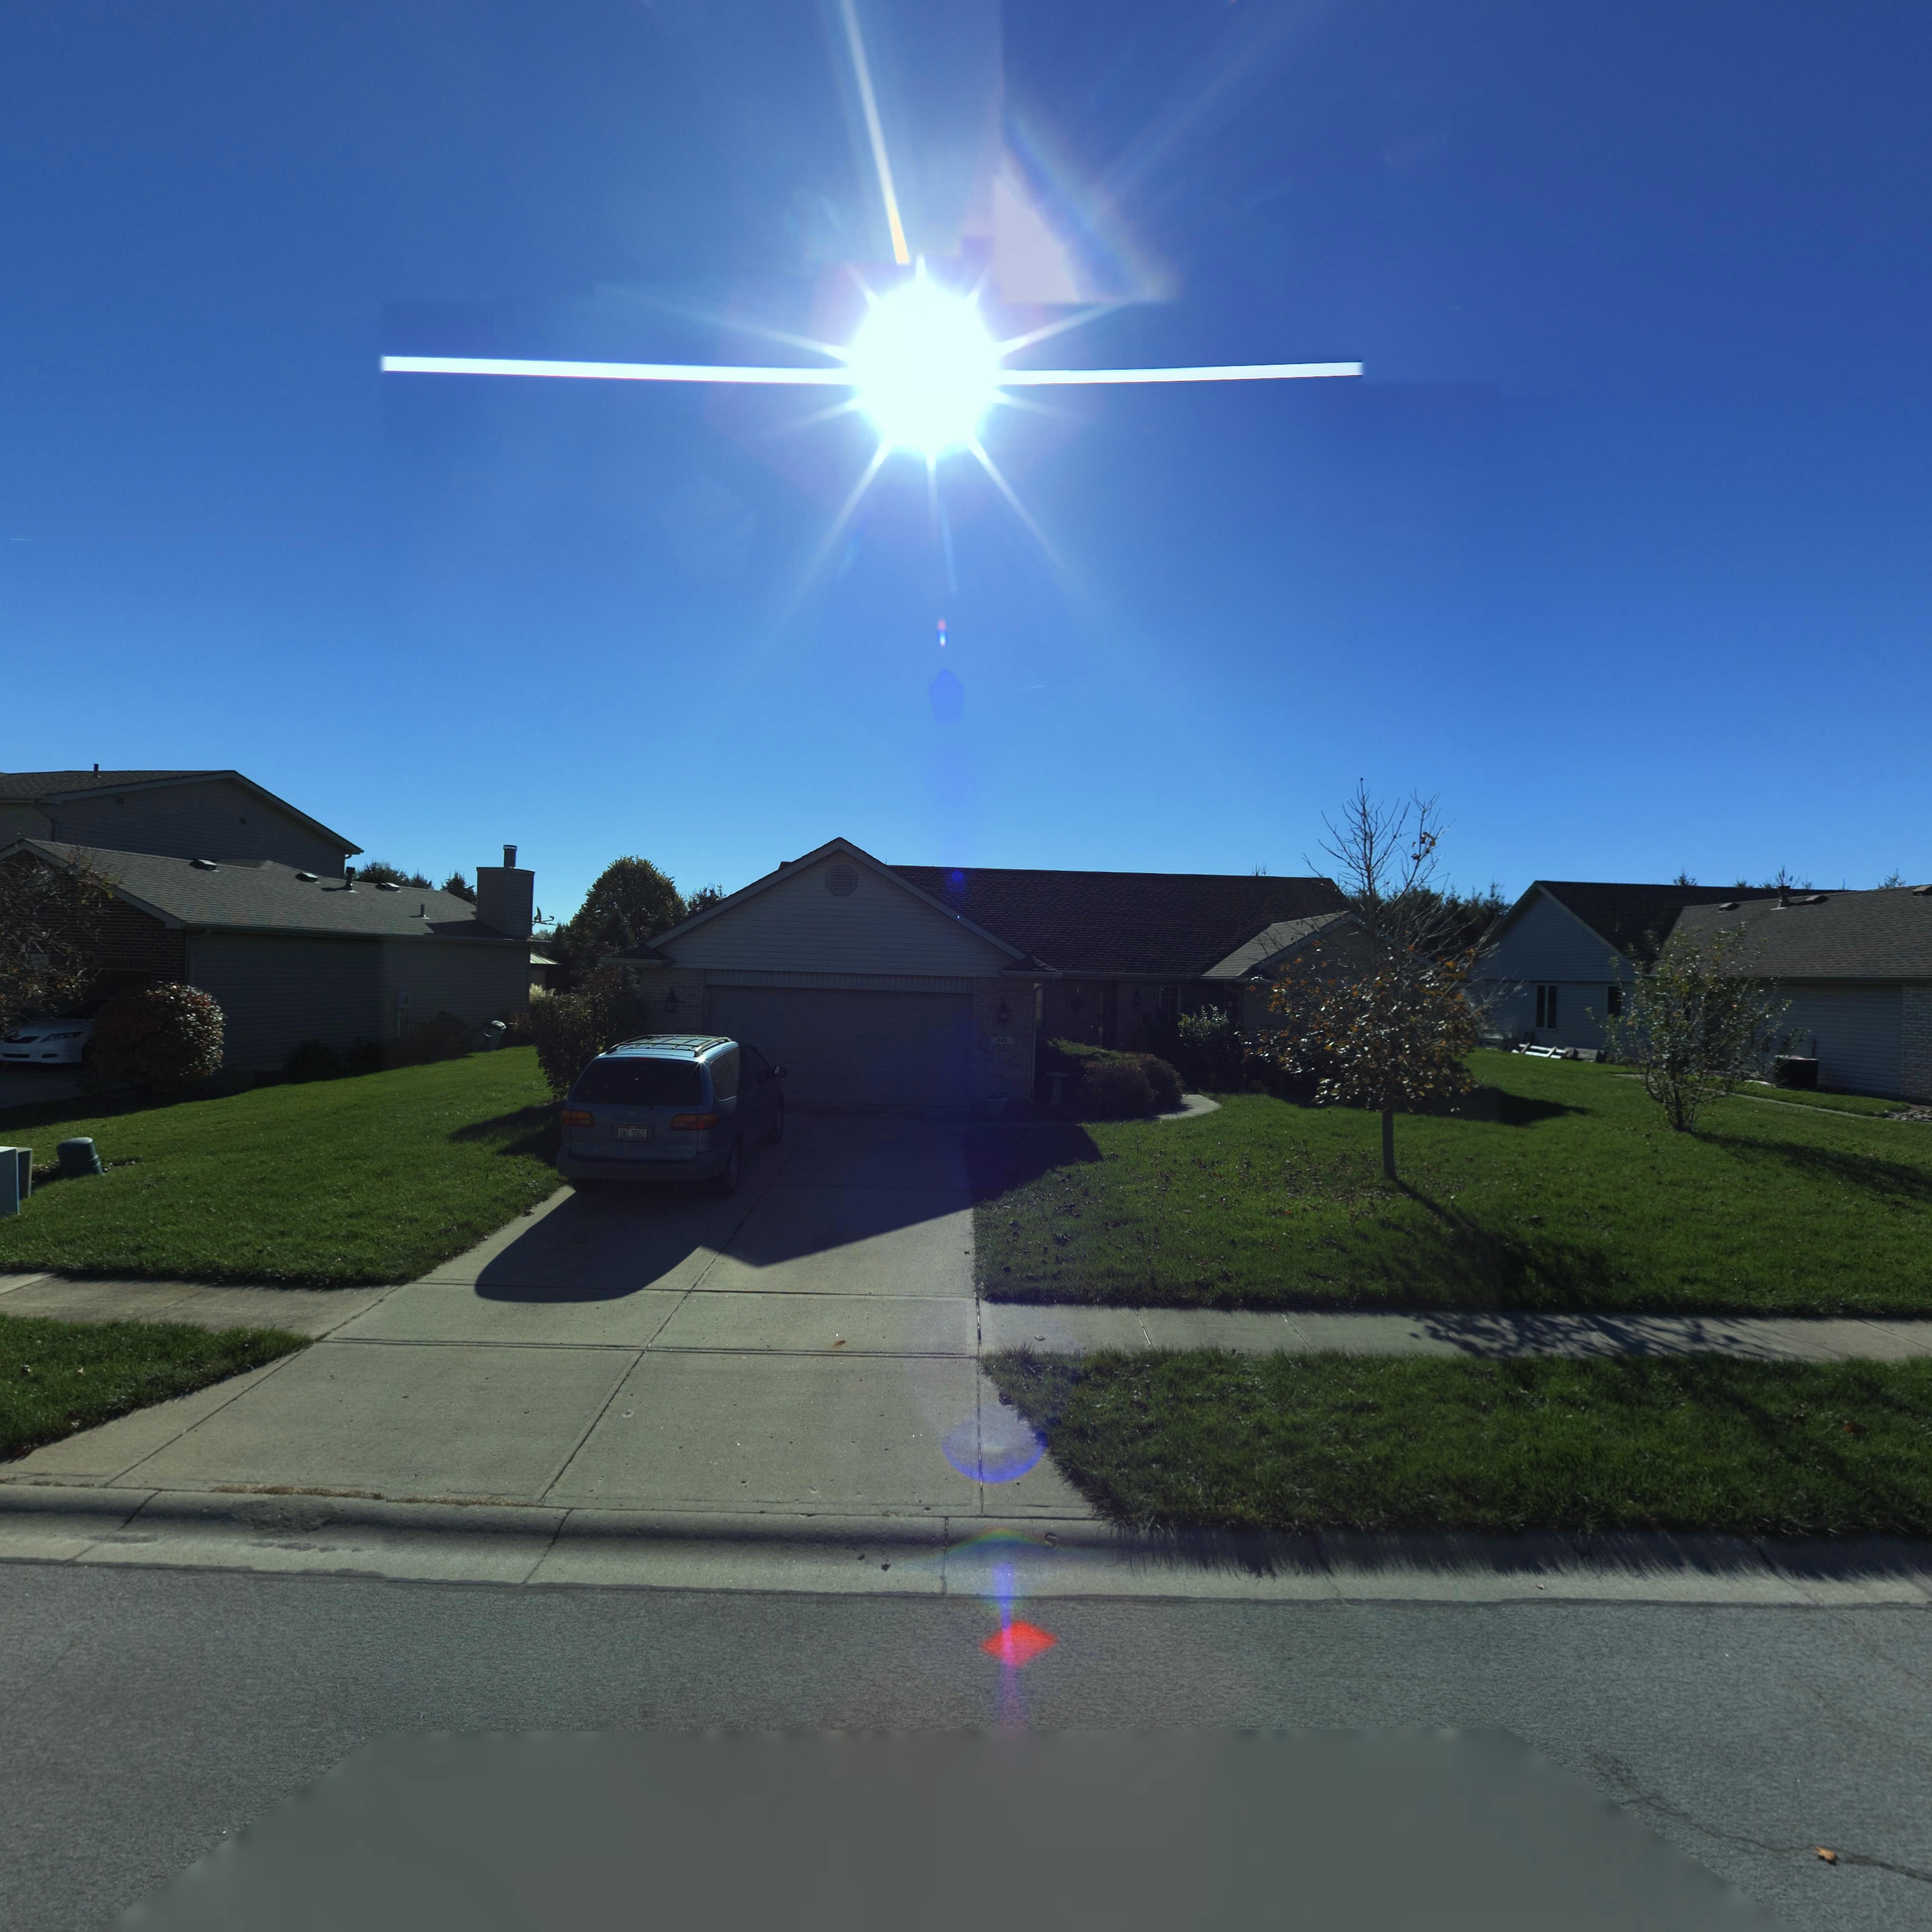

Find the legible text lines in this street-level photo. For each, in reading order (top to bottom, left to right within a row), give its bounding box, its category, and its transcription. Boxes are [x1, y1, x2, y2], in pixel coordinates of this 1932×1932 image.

[997, 1038, 1007, 1043] StreetNumber: 145
[618, 1127, 646, 1139] None: DKL 3562